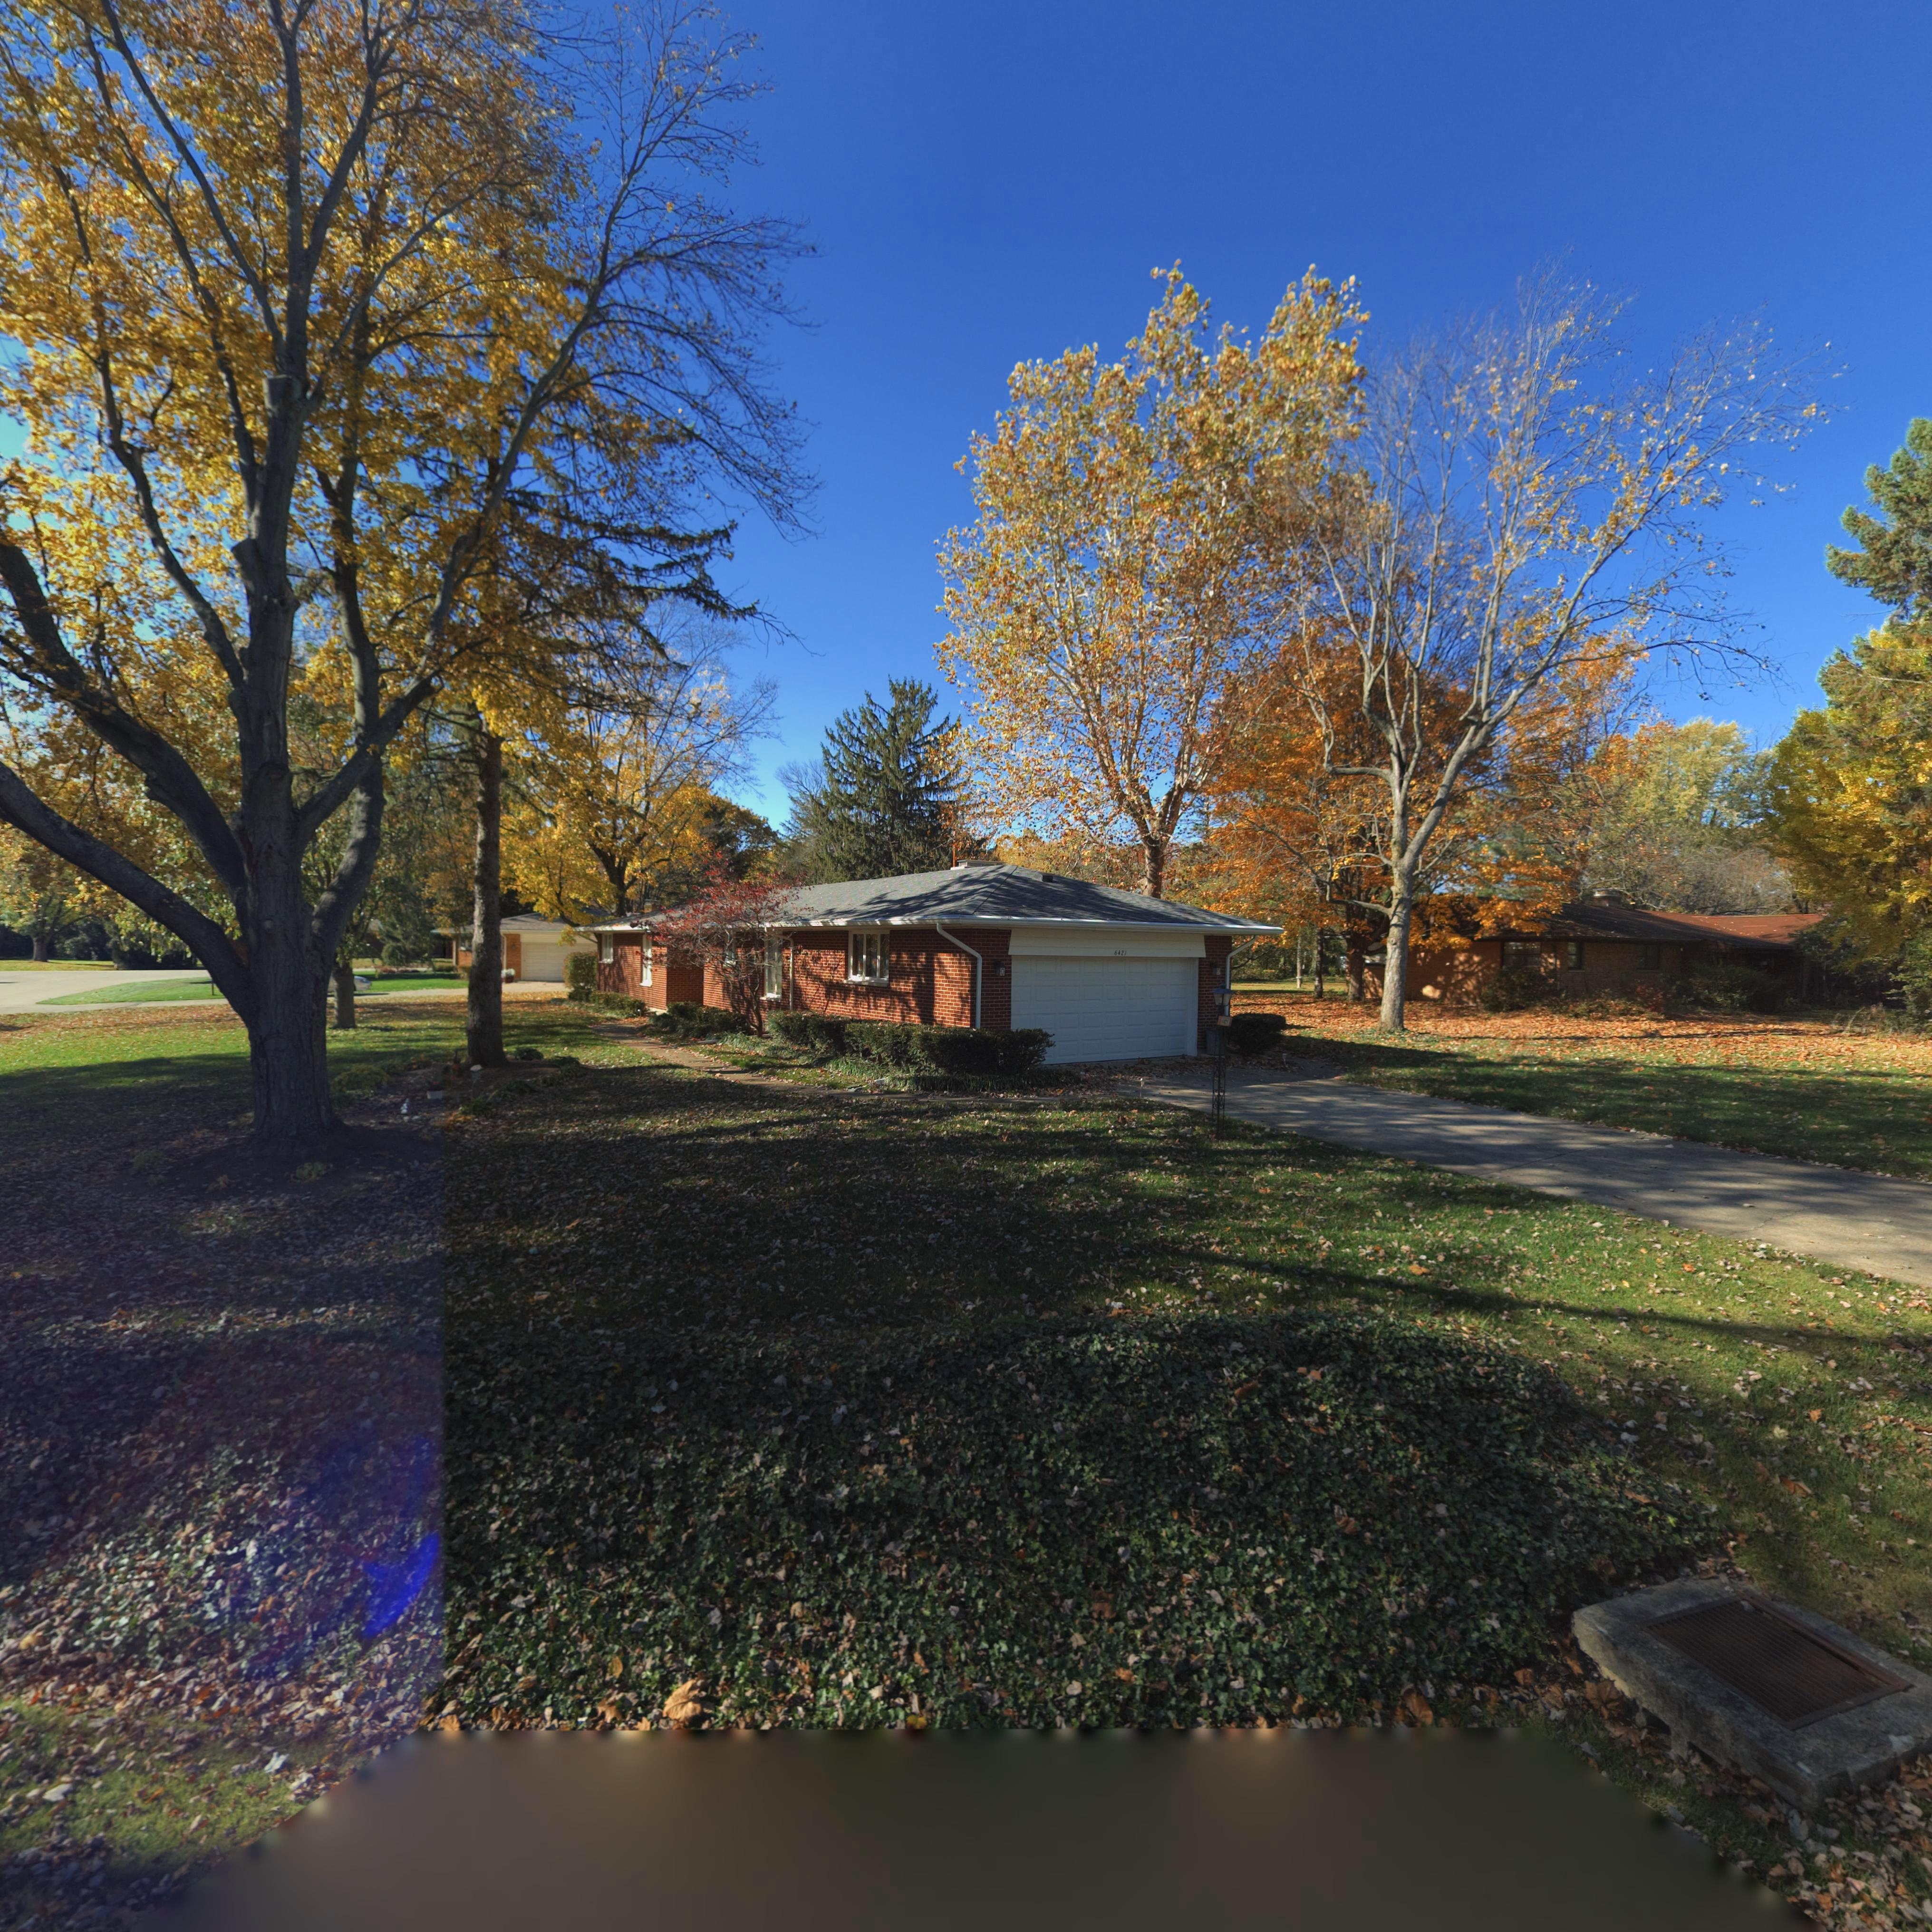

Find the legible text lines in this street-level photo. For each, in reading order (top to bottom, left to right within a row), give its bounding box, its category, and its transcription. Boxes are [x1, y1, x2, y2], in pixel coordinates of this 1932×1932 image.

[1113, 949, 1128, 956] StreetNumber: 6421
[1220, 1018, 1229, 1025] StreetNumber: 6421